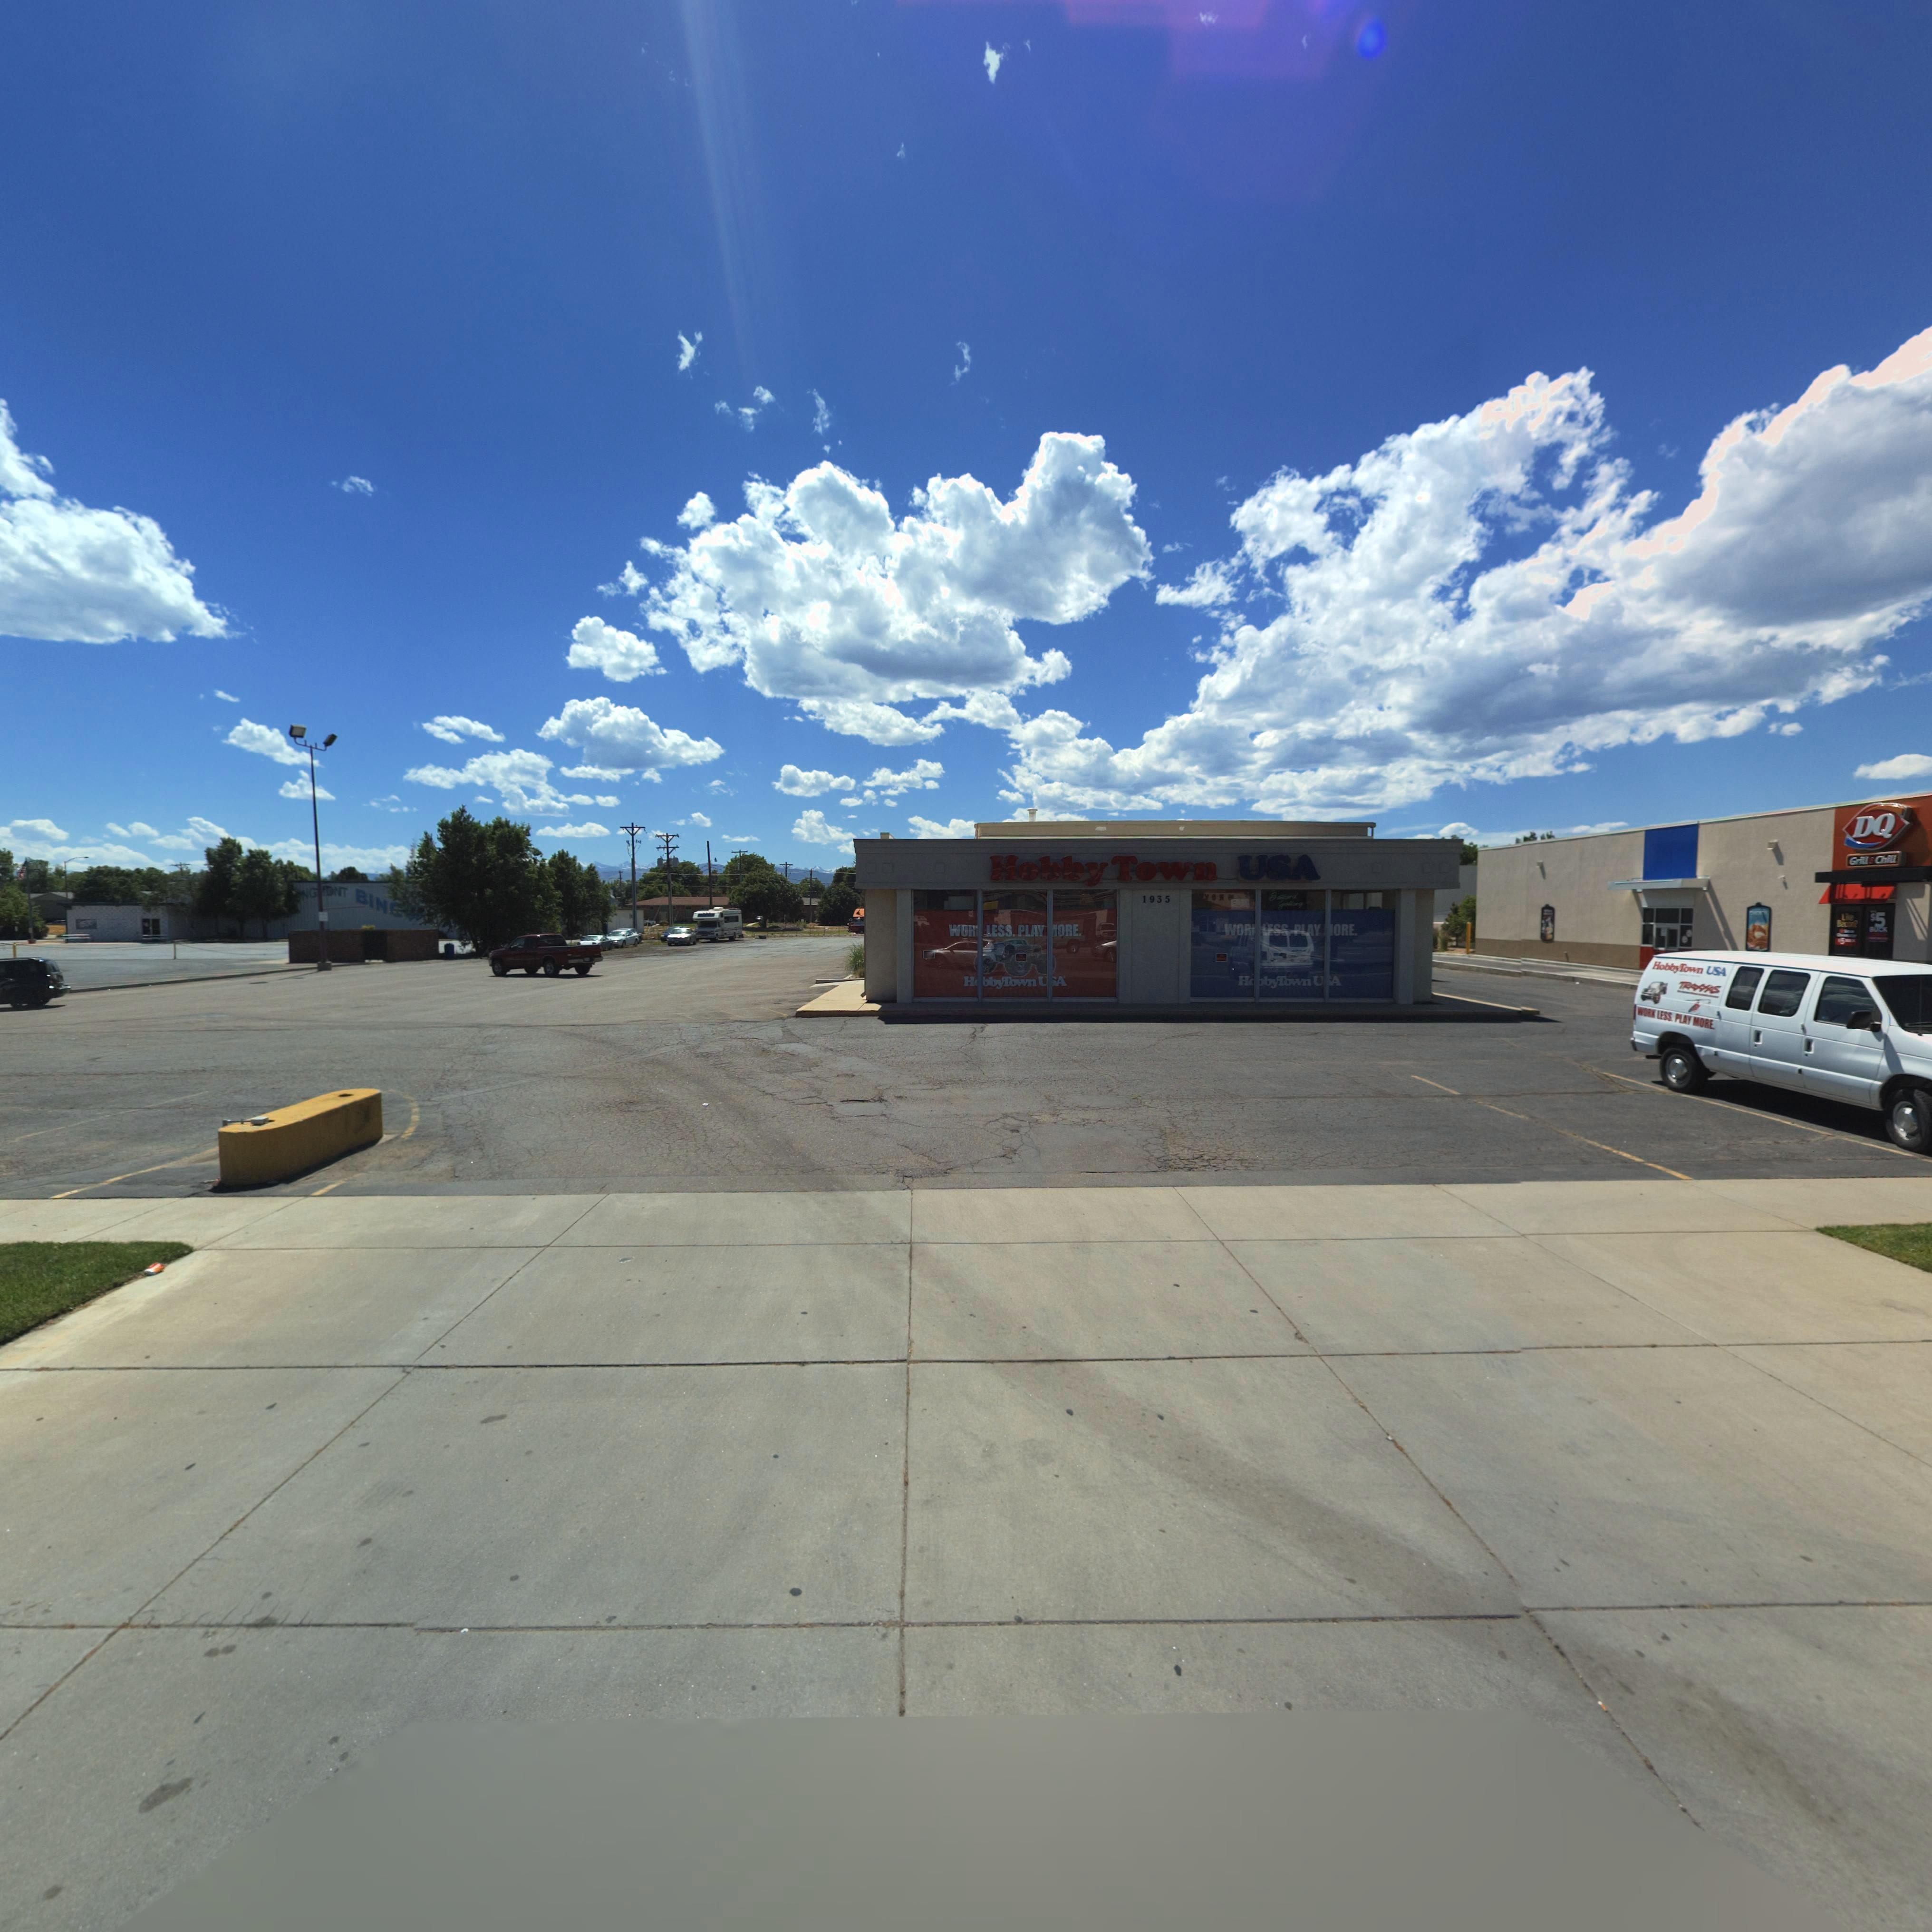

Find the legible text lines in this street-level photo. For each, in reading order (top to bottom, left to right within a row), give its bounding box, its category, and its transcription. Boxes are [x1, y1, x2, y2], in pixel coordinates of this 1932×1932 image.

[1851, 812, 1896, 839] BusinessName: DQ
[989, 853, 1321, 887] BusinessName: Hobby Town USA
[301, 885, 404, 918] BusinessName: NG*ONT BIN*
[1142, 895, 1170, 903] StreetNumber: 1935
[963, 975, 1067, 989] BusinessName: H*bbyTown **A
[1237, 975, 1342, 989] BusinessName: H**byTown U*A